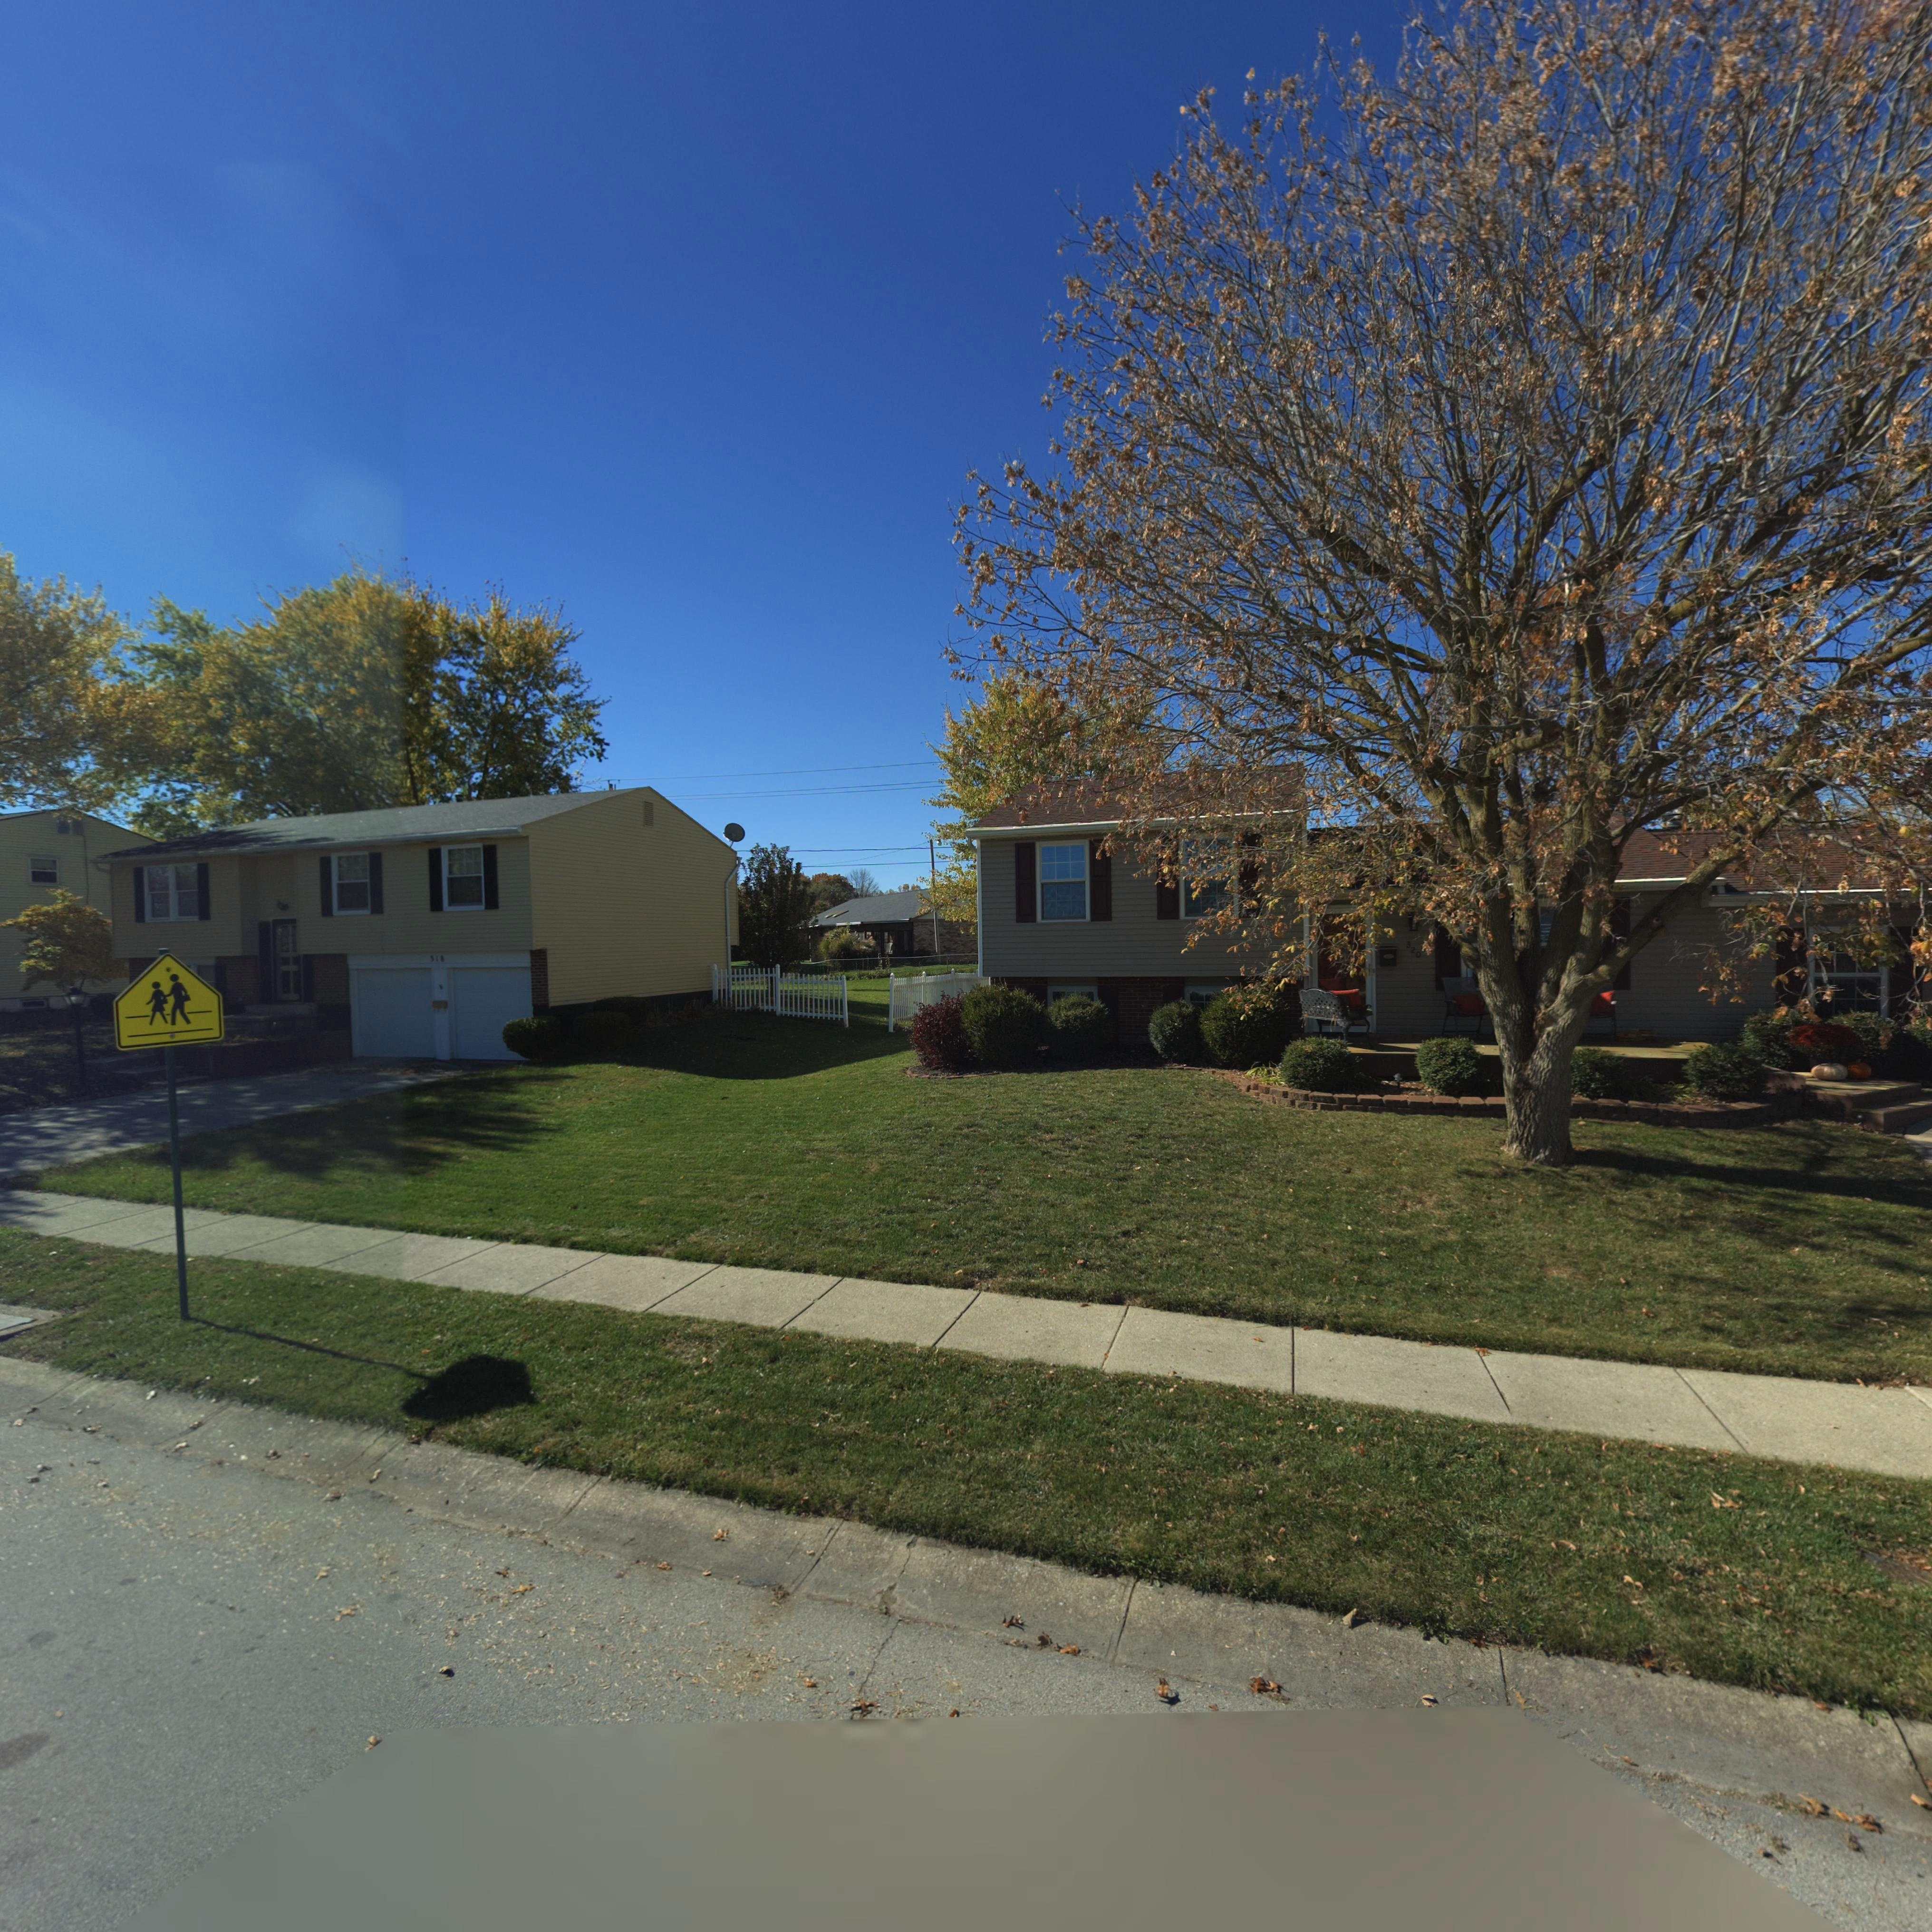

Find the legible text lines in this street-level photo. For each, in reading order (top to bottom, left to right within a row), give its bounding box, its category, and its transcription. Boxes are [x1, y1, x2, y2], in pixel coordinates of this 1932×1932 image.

[429, 954, 445, 963] StreetNumber: *18
[1404, 940, 1422, 959] StreetNumber: *20